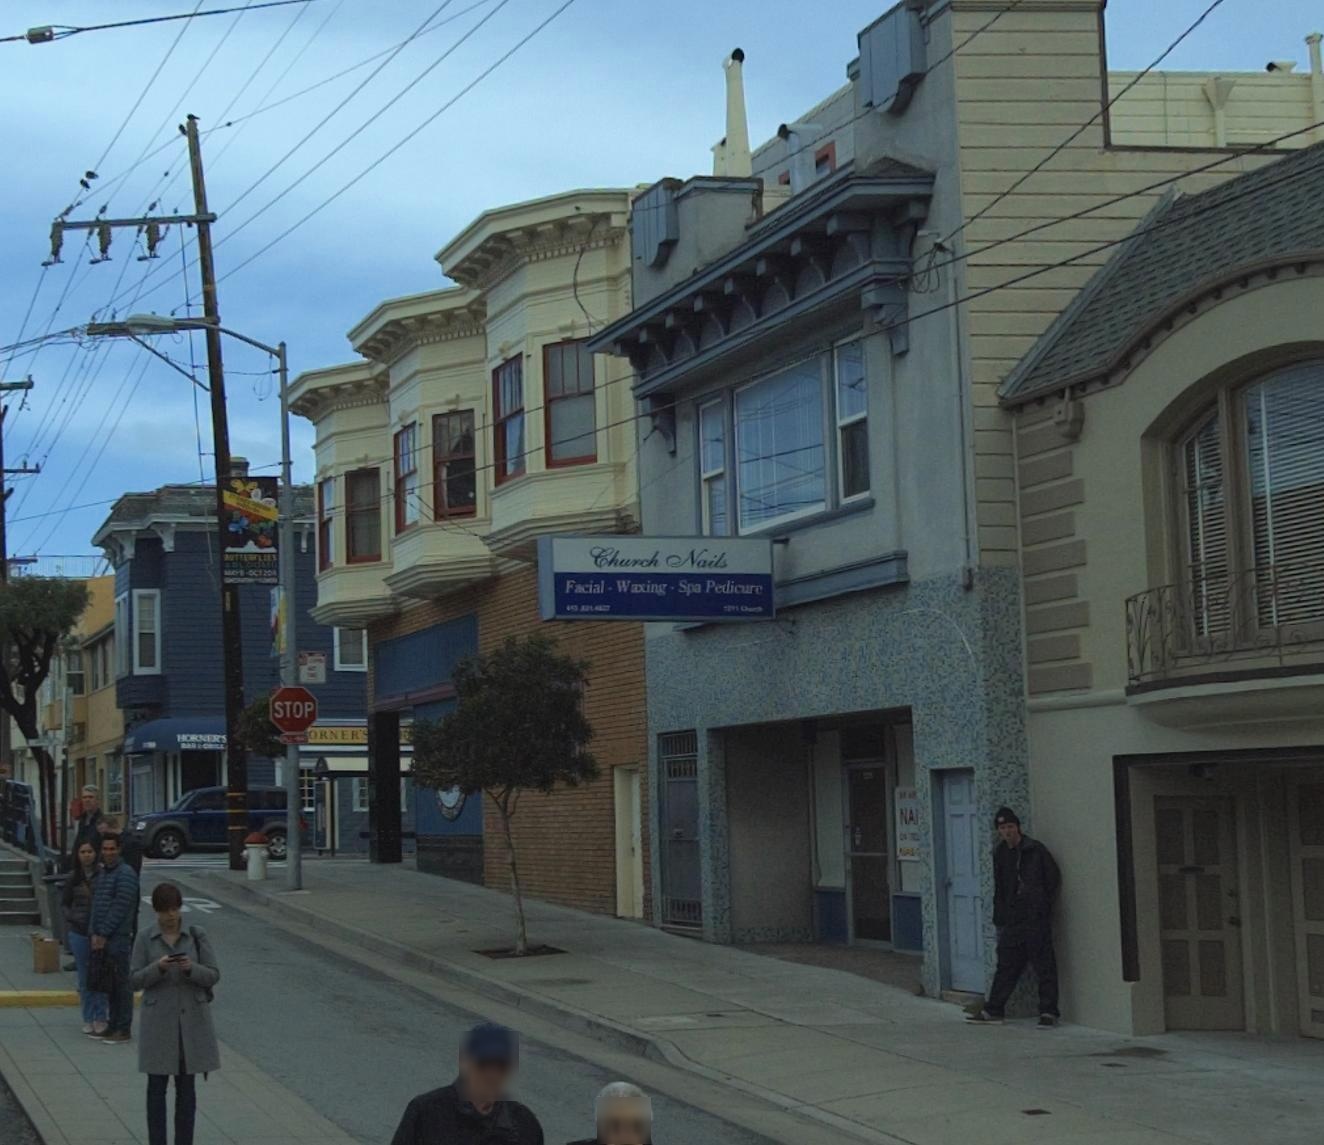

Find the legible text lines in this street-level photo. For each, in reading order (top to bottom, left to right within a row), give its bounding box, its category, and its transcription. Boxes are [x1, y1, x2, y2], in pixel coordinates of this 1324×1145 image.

[588, 544, 730, 570] BusinessName: Church Nails
[565, 578, 764, 598] None: Facial - Waxing - Spa Pedicure
[273, 700, 315, 720] None: STOP
[308, 729, 361, 742] BusinessName: ORNER
[898, 805, 916, 826] None: NA